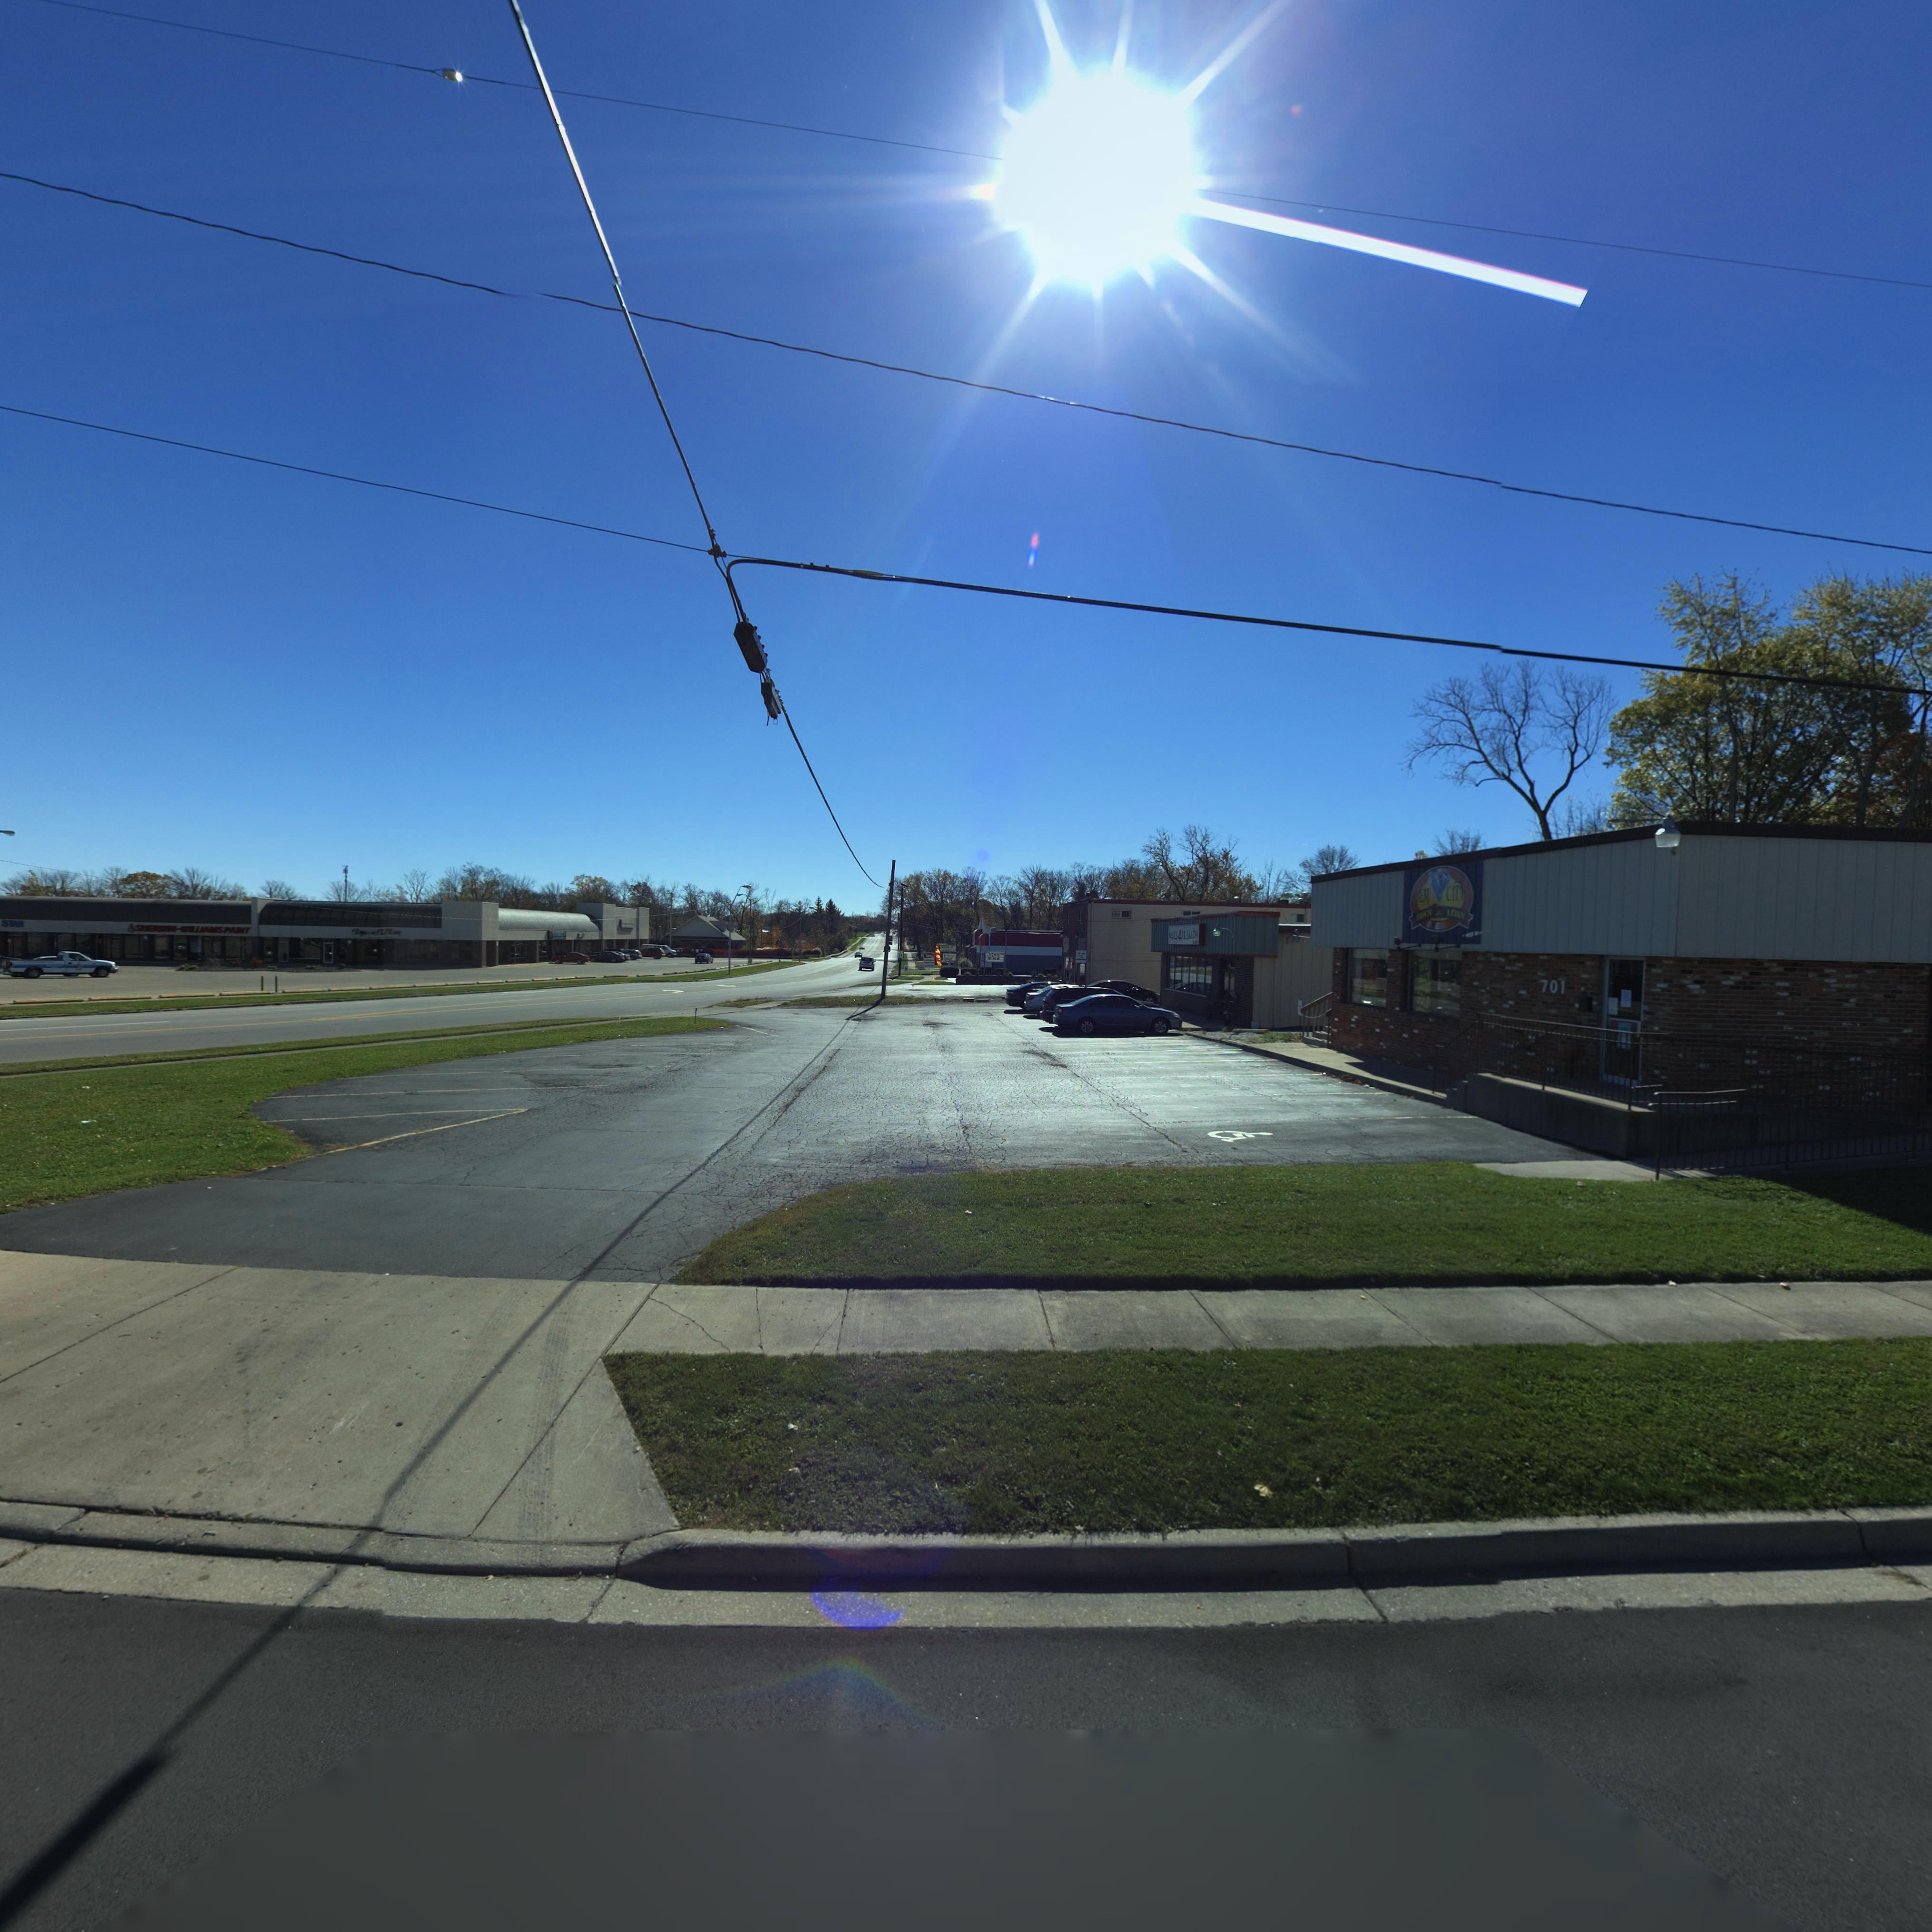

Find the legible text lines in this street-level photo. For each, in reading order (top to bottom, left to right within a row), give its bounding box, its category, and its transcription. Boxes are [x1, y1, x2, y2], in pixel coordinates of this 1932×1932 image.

[1539, 979, 1566, 995] StreetNumber: 701